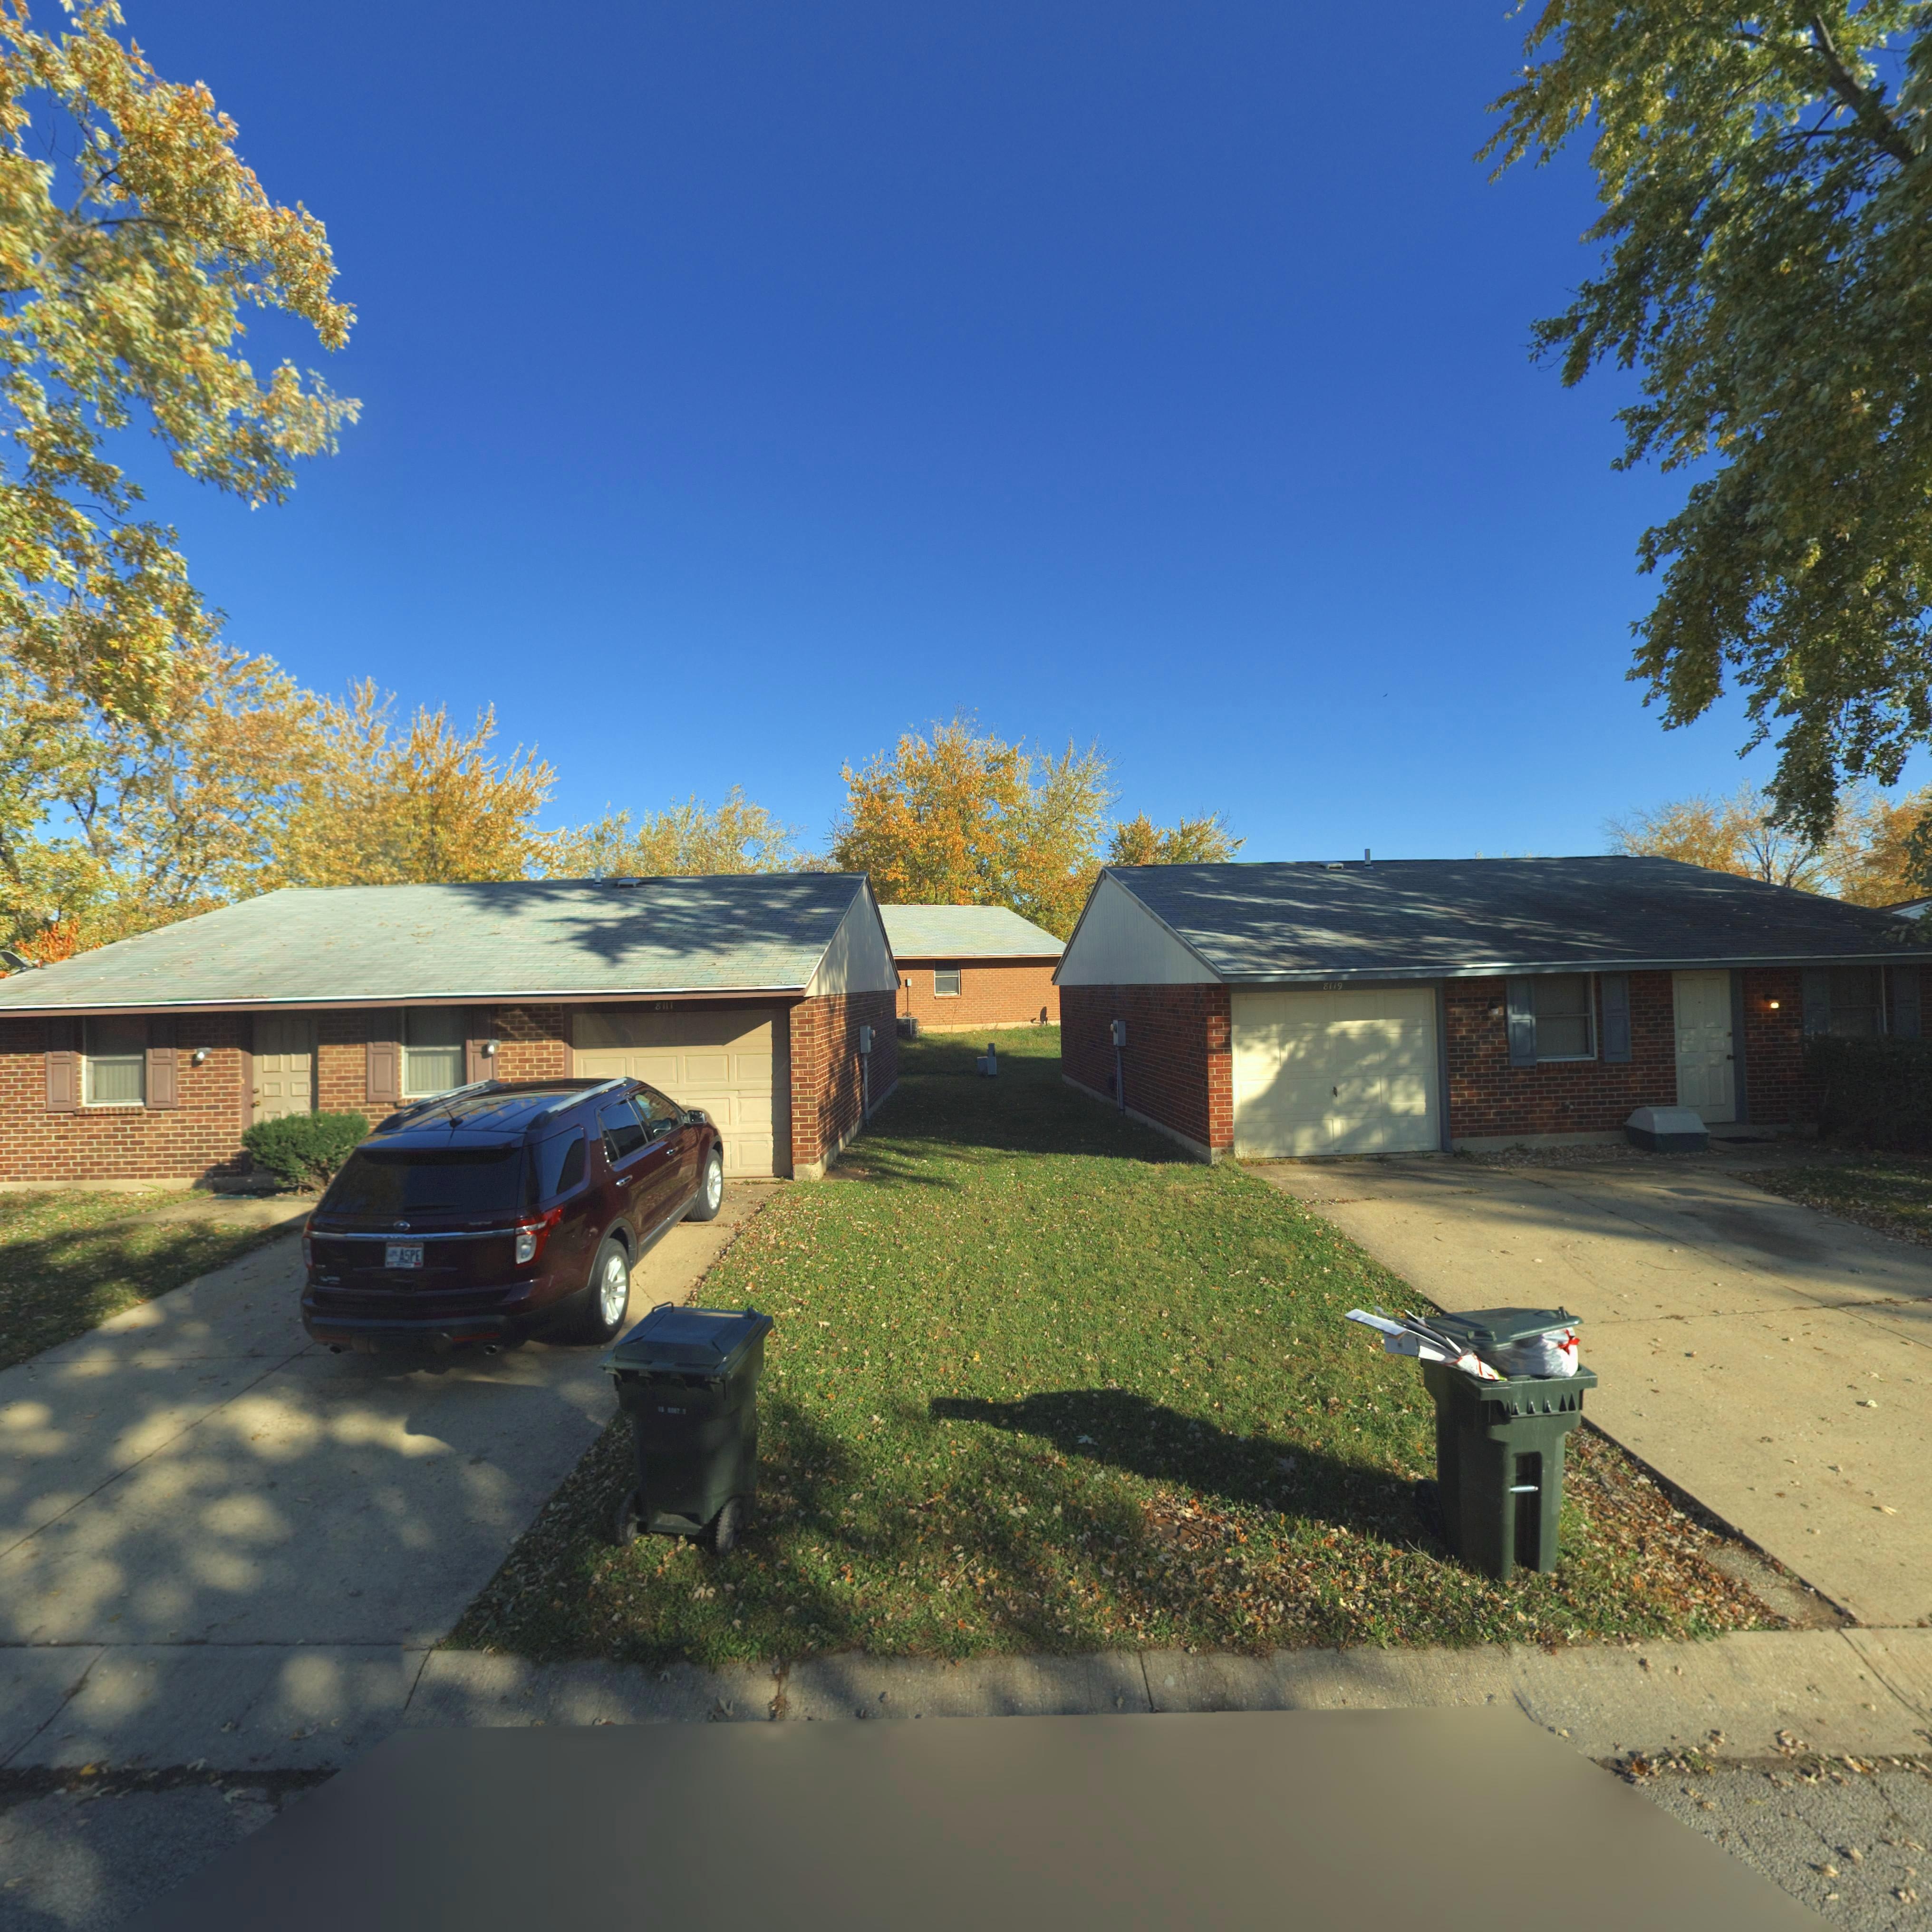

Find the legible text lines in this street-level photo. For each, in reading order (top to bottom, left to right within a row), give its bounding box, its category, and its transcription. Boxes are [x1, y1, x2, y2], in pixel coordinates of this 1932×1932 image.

[1322, 981, 1343, 991] StreetNumber: 8119
[655, 1000, 674, 1012] StreetNumber: 8111